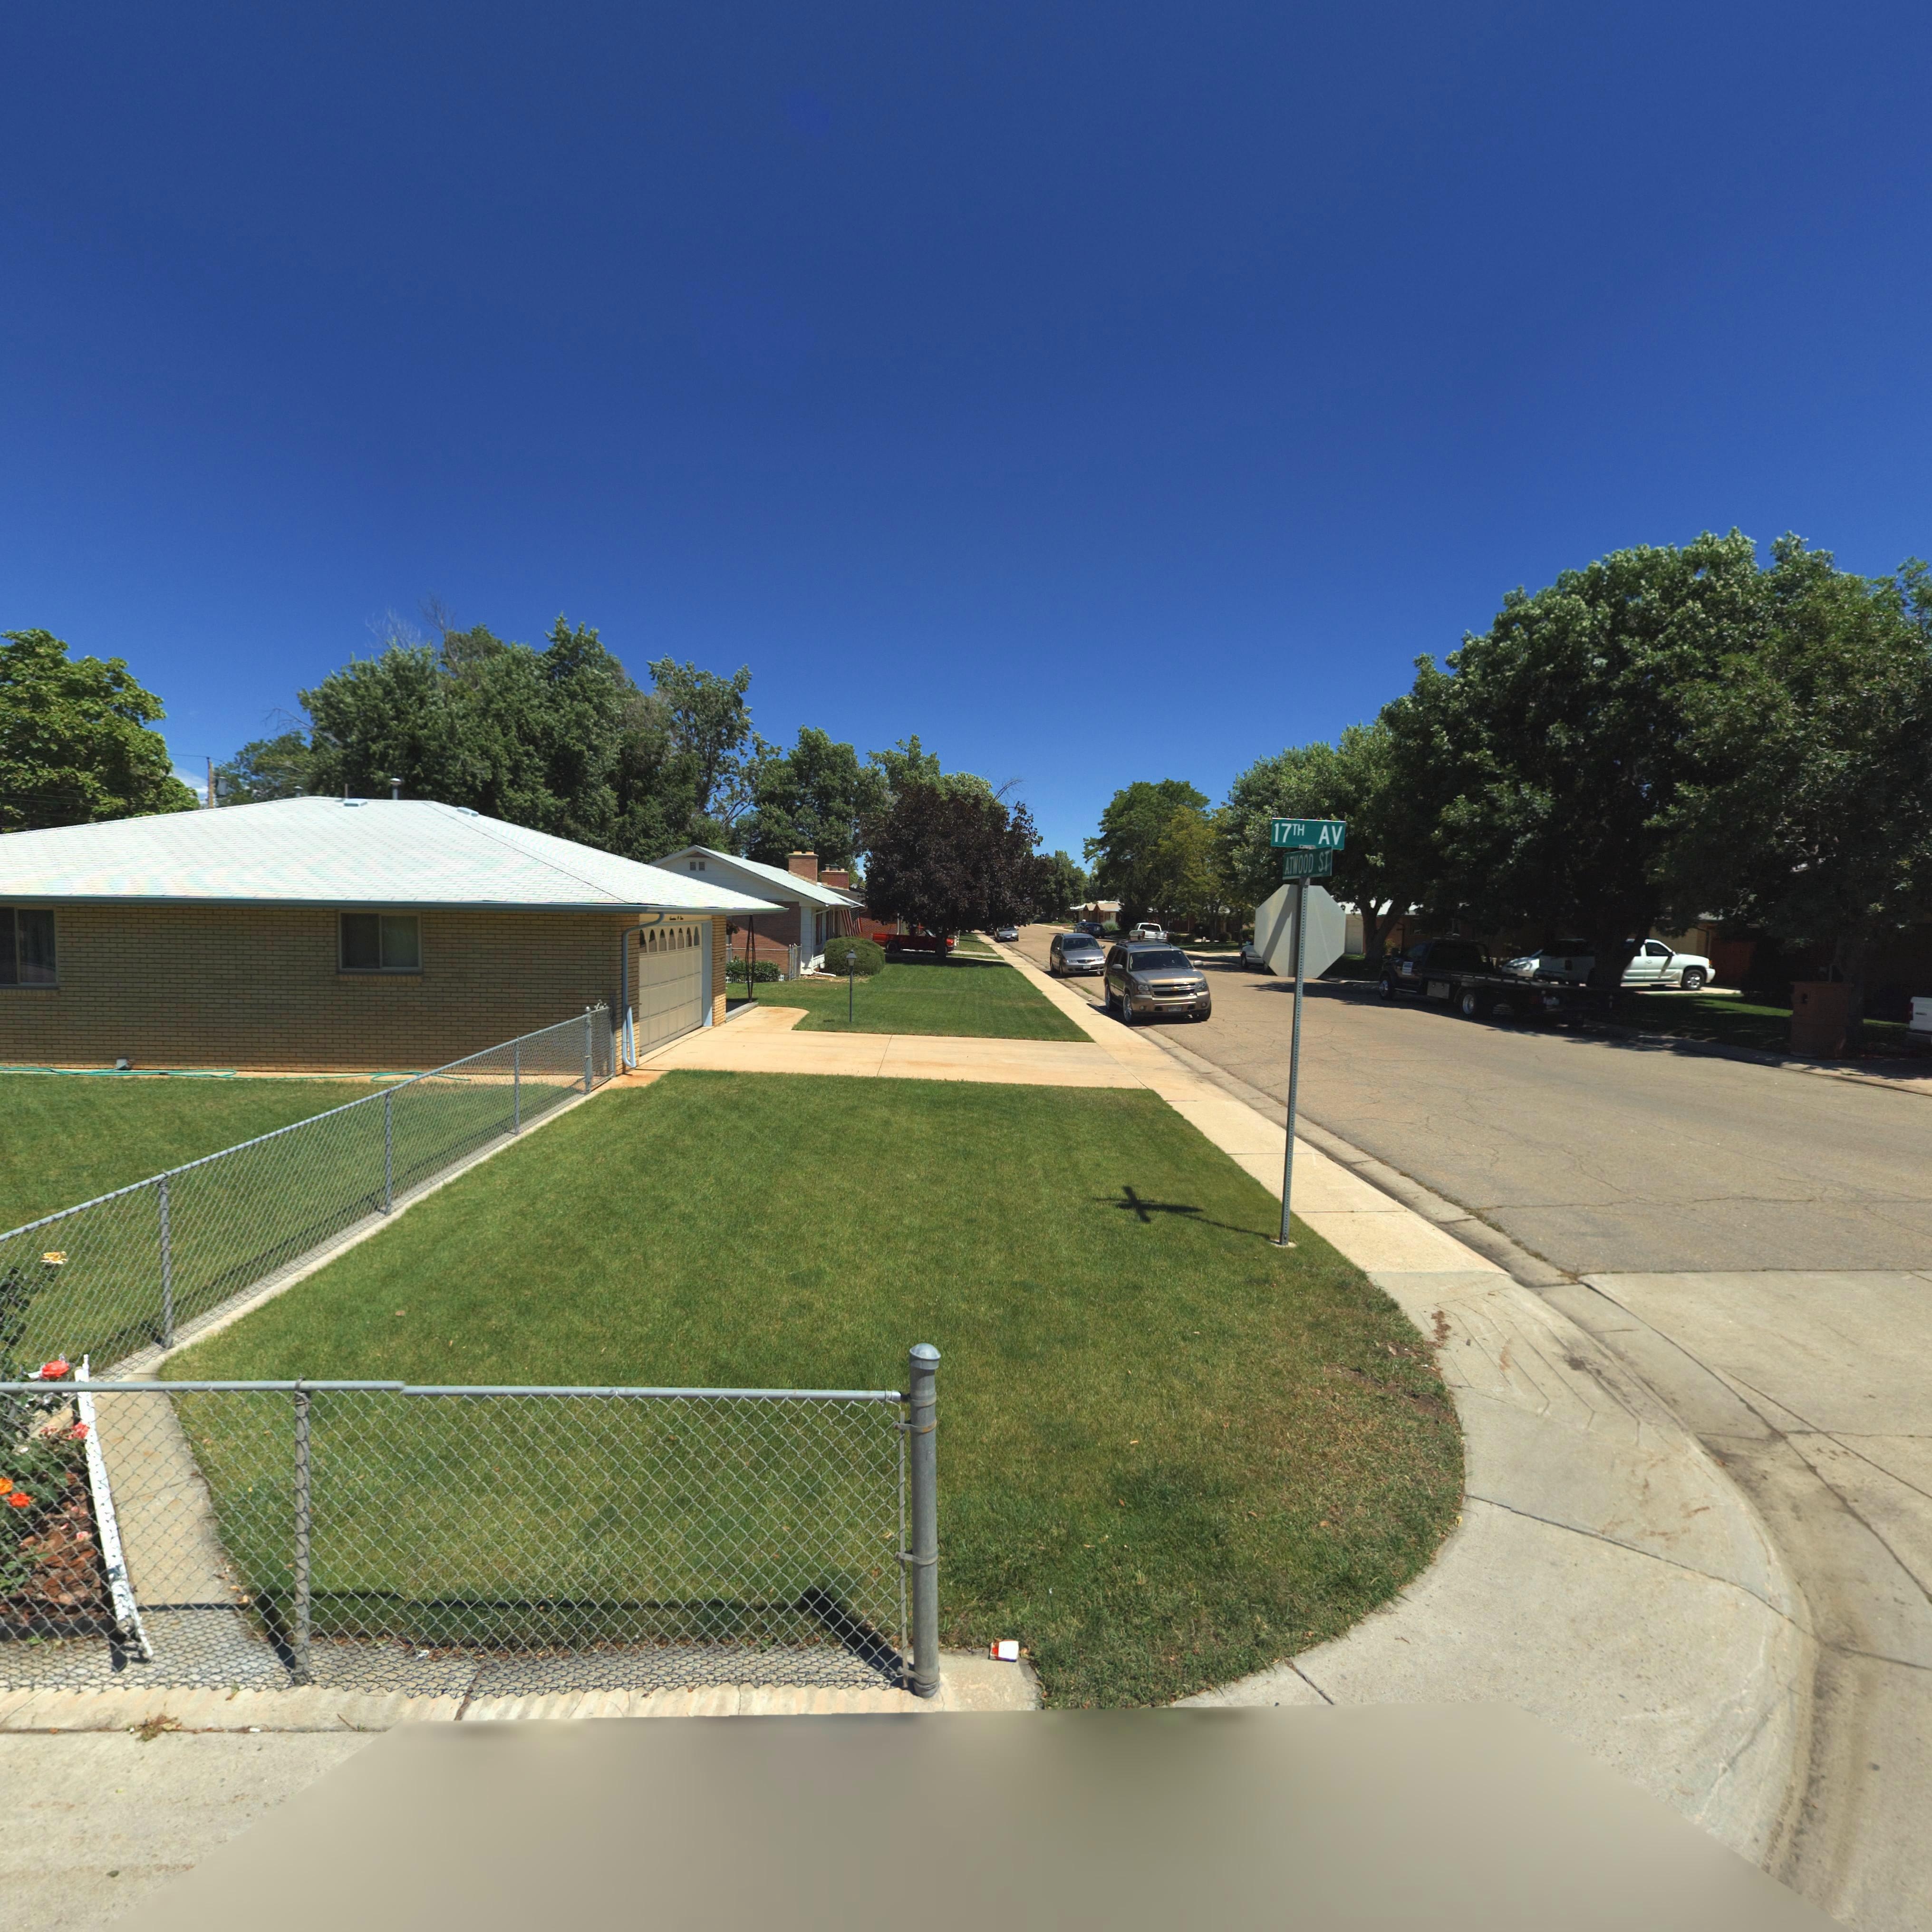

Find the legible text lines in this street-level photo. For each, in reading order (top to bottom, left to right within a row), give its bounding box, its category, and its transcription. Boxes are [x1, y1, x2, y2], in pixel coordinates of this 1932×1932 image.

[1274, 822, 1343, 845] StreetName: 17TH AV
[1284, 850, 1329, 875] StreetName: ATWOOD ST